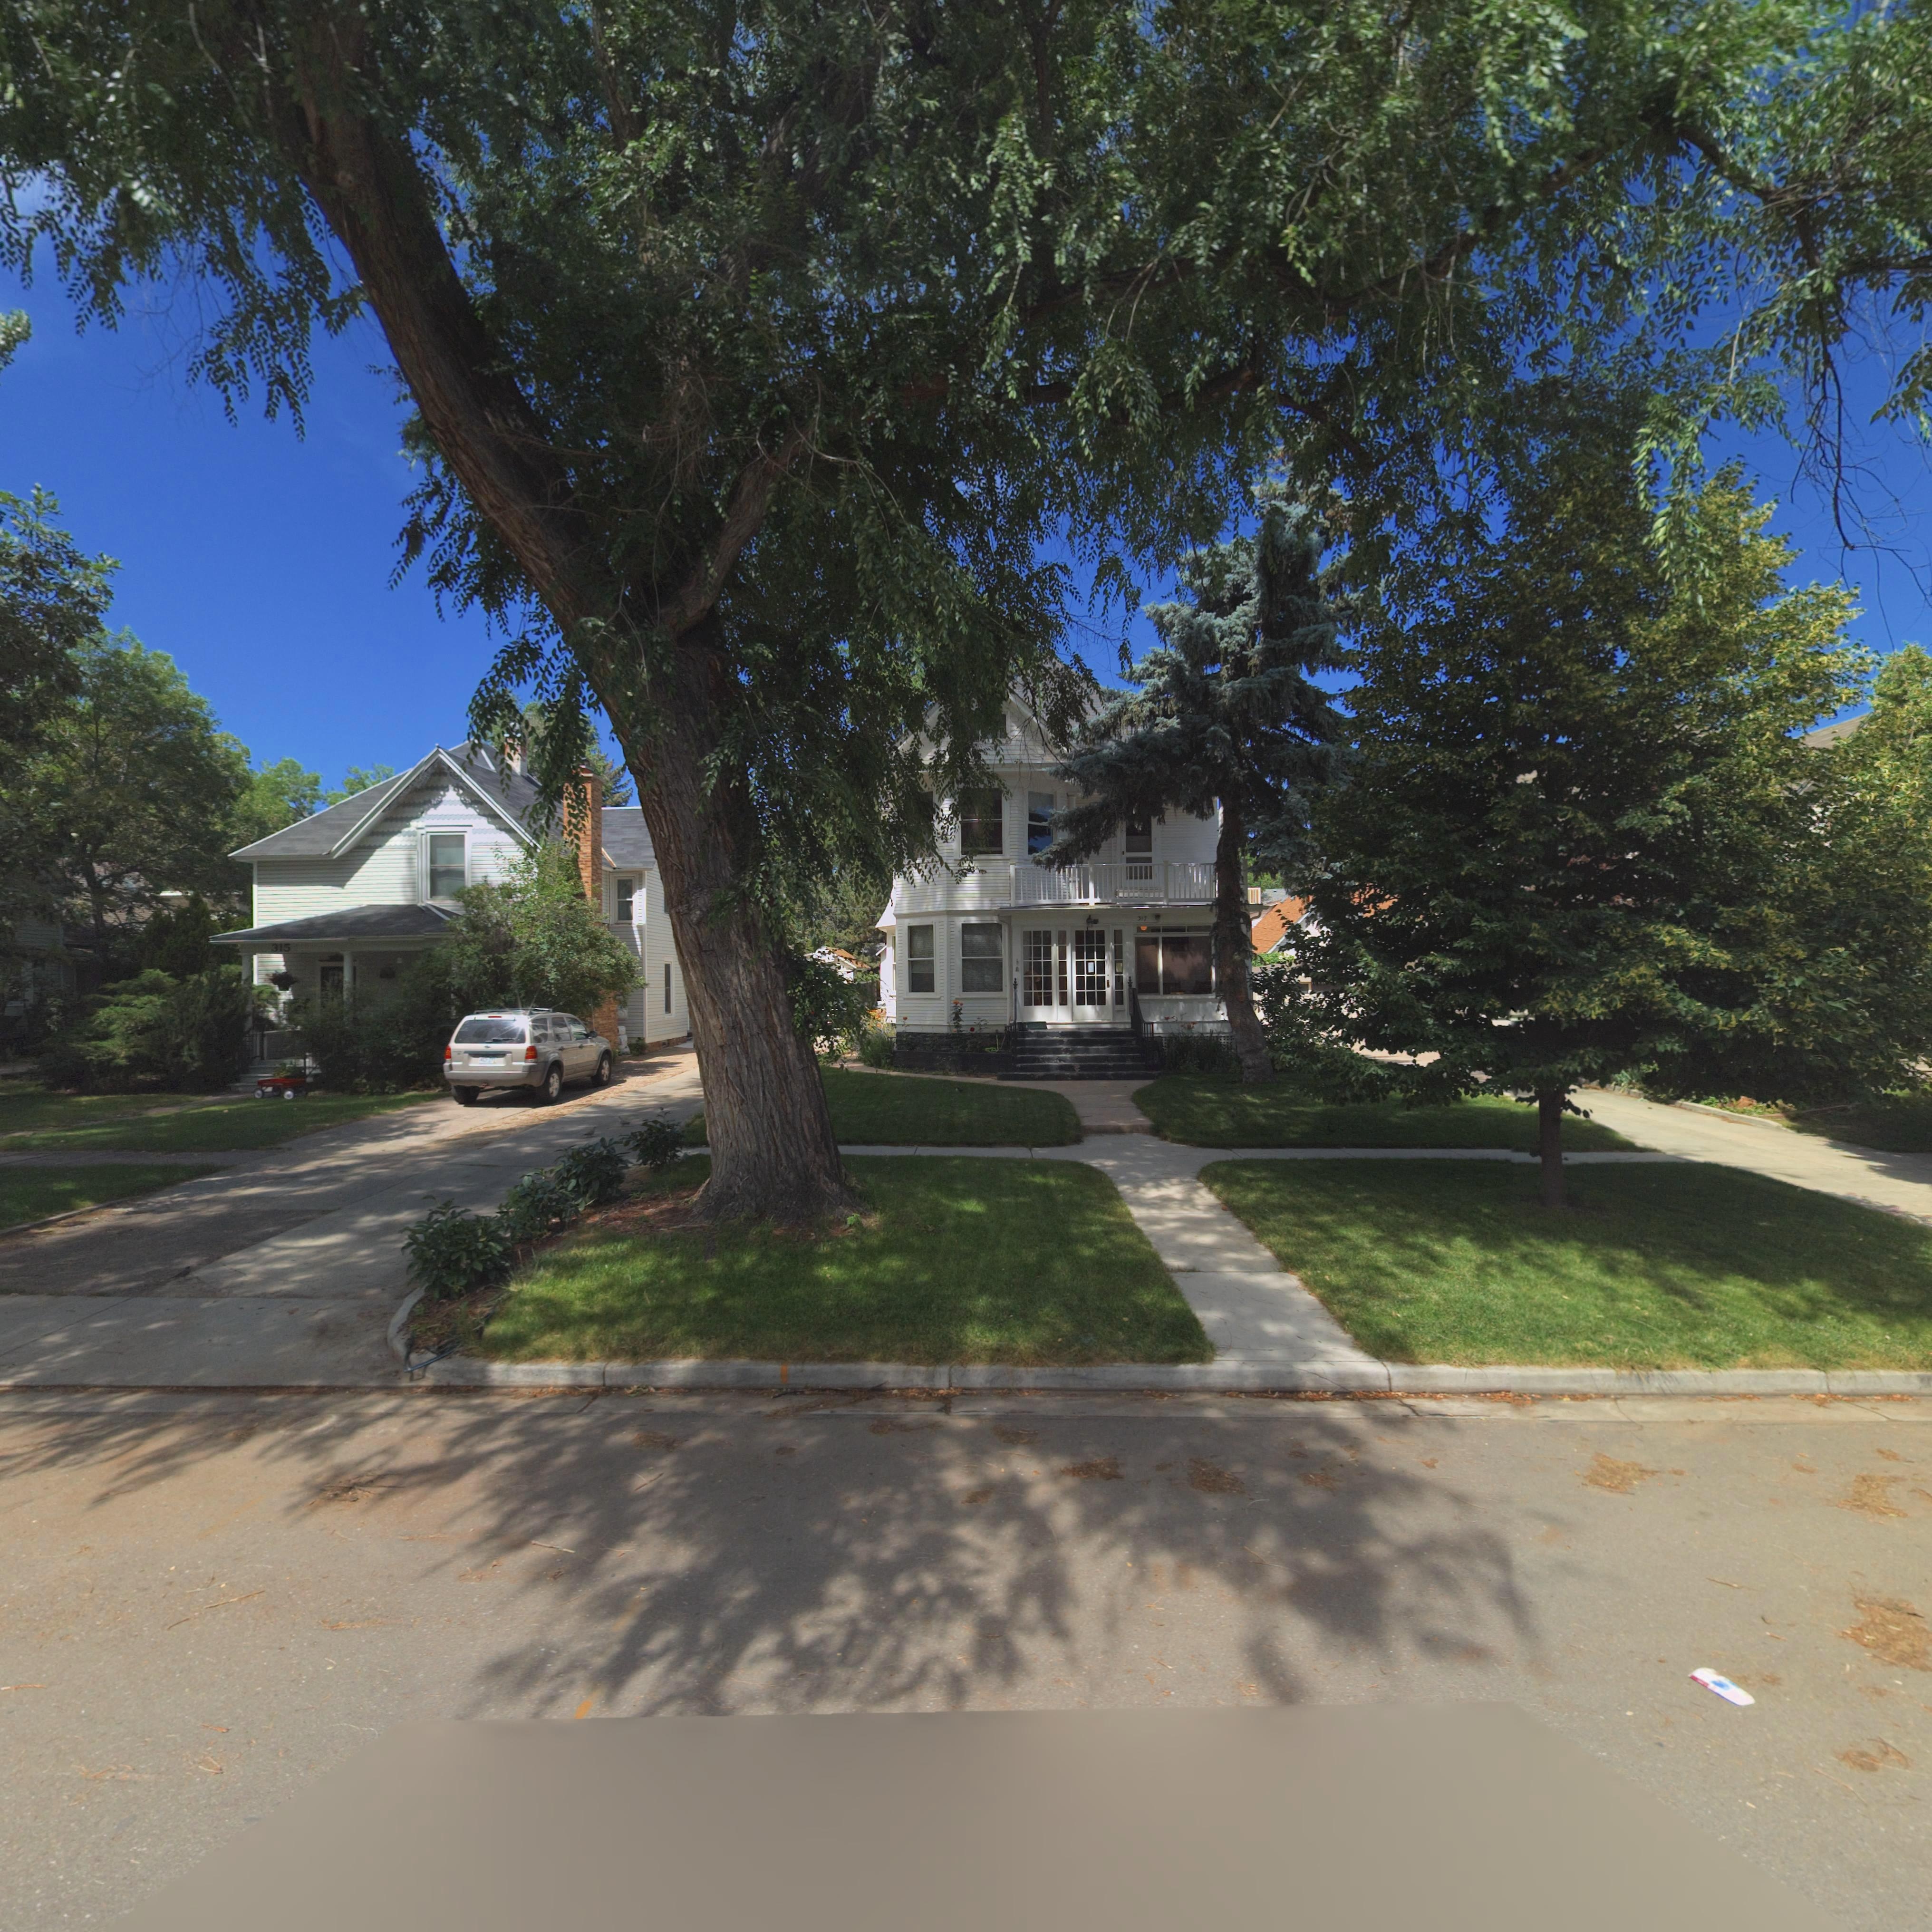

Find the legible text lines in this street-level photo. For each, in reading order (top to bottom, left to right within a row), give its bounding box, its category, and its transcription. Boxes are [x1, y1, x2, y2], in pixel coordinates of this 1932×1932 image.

[1137, 916, 1147, 921] StreetNumber: 317
[271, 943, 290, 952] StreetNumber: 315